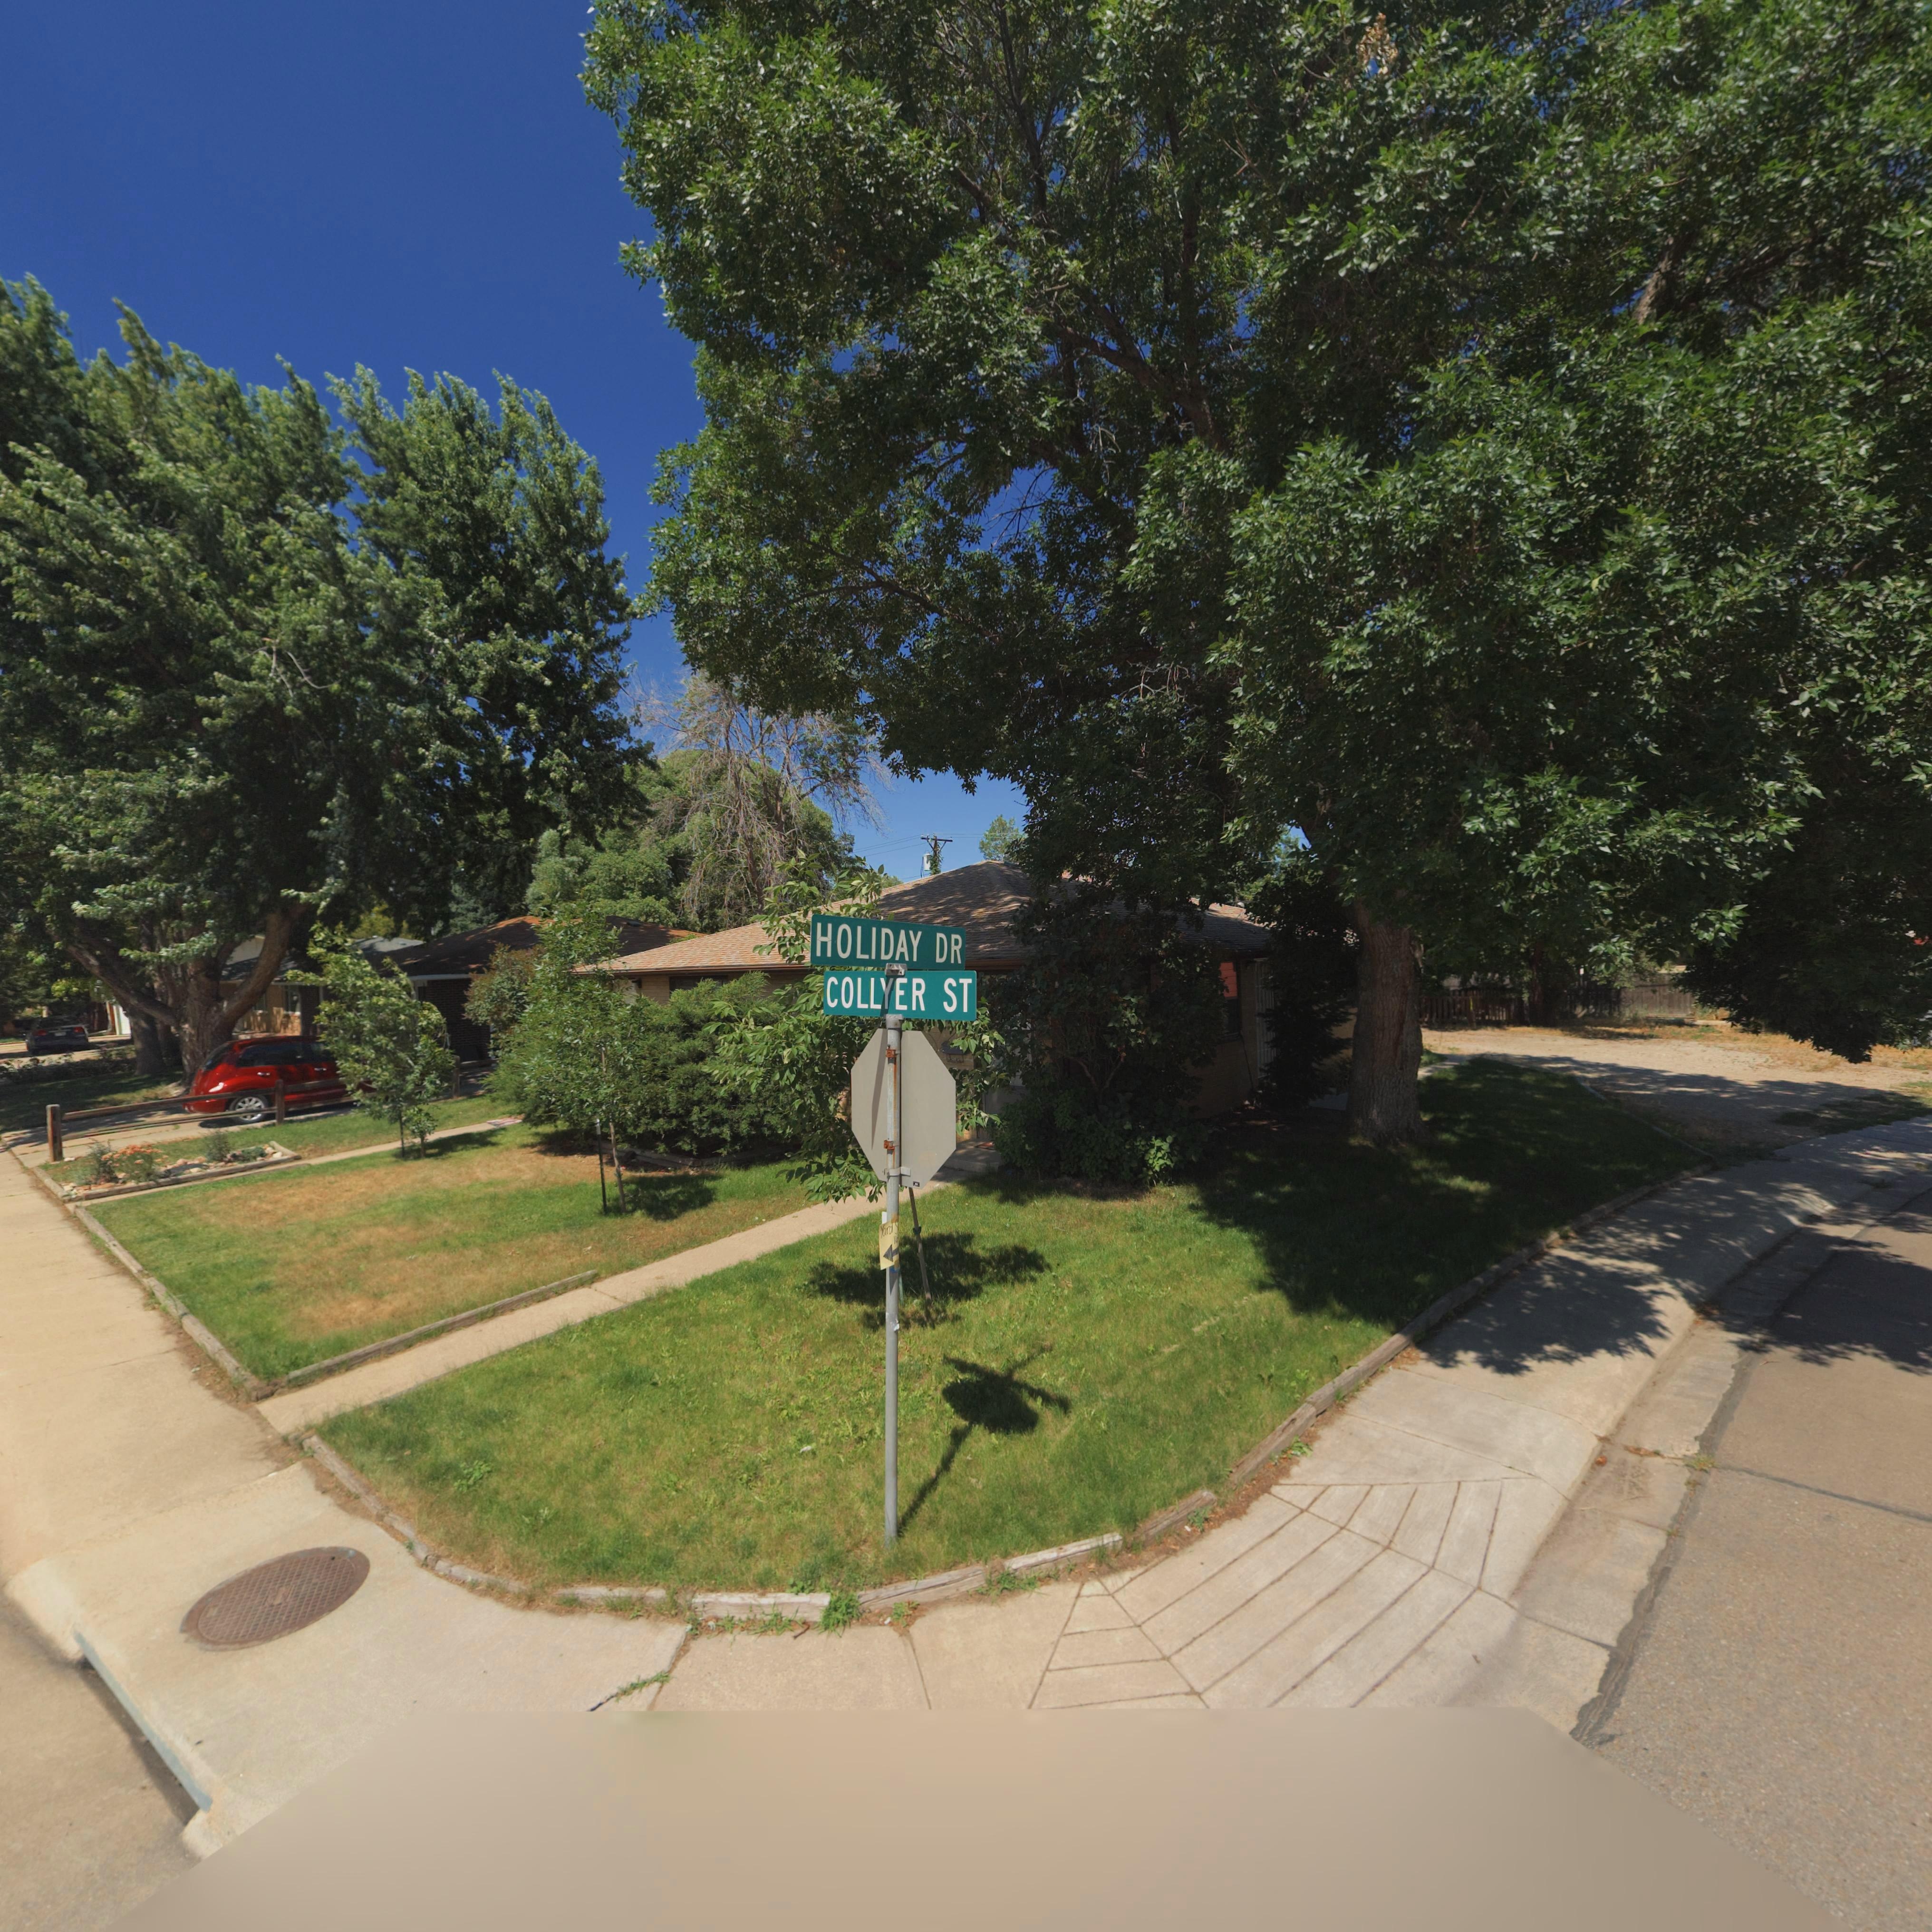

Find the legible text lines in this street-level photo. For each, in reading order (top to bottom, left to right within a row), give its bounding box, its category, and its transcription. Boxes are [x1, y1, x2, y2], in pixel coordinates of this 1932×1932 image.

[815, 921, 963, 965] StreetName: HOLIDAY DR
[825, 976, 973, 1013] StreetName: COLLYER ST